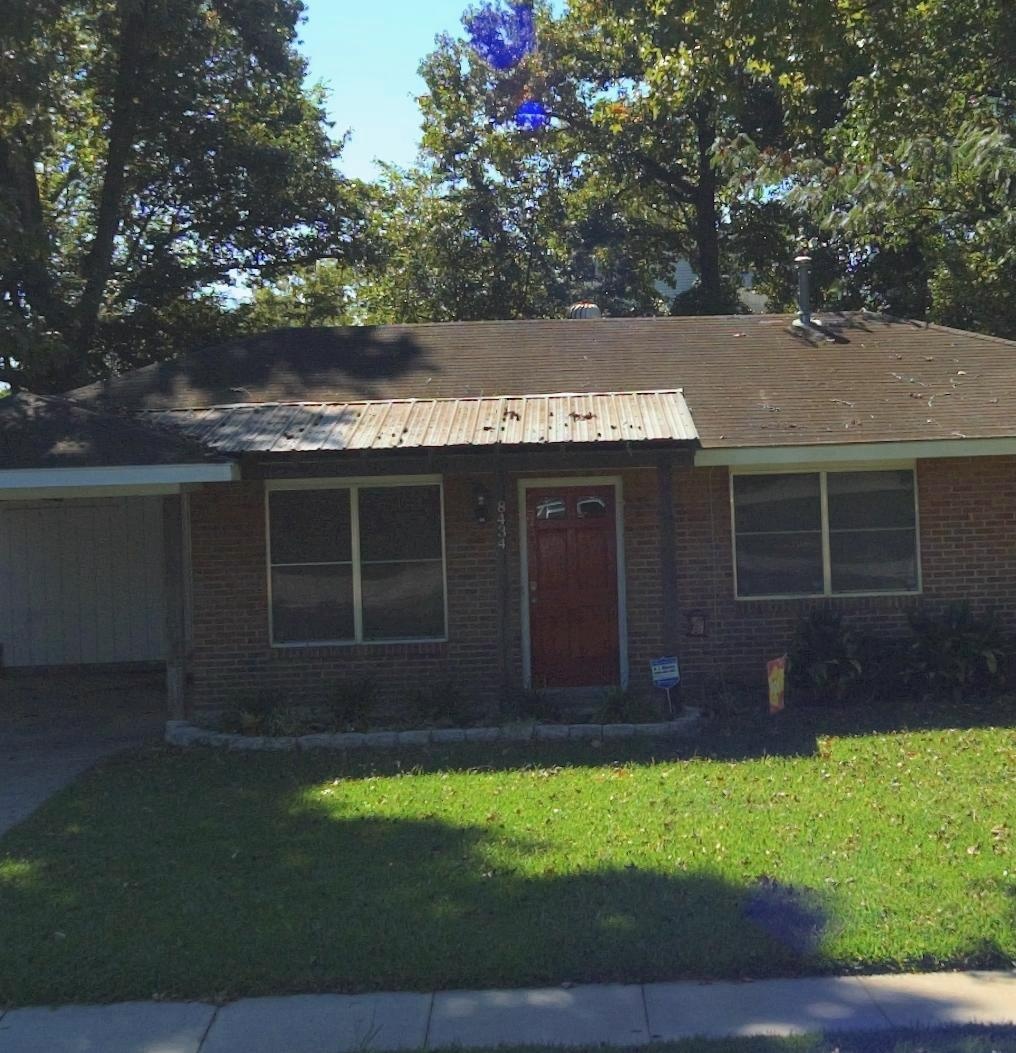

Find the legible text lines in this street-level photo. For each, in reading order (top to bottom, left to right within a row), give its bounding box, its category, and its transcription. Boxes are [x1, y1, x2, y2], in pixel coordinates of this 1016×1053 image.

[495, 499, 508, 551] StreetNumber: 8434